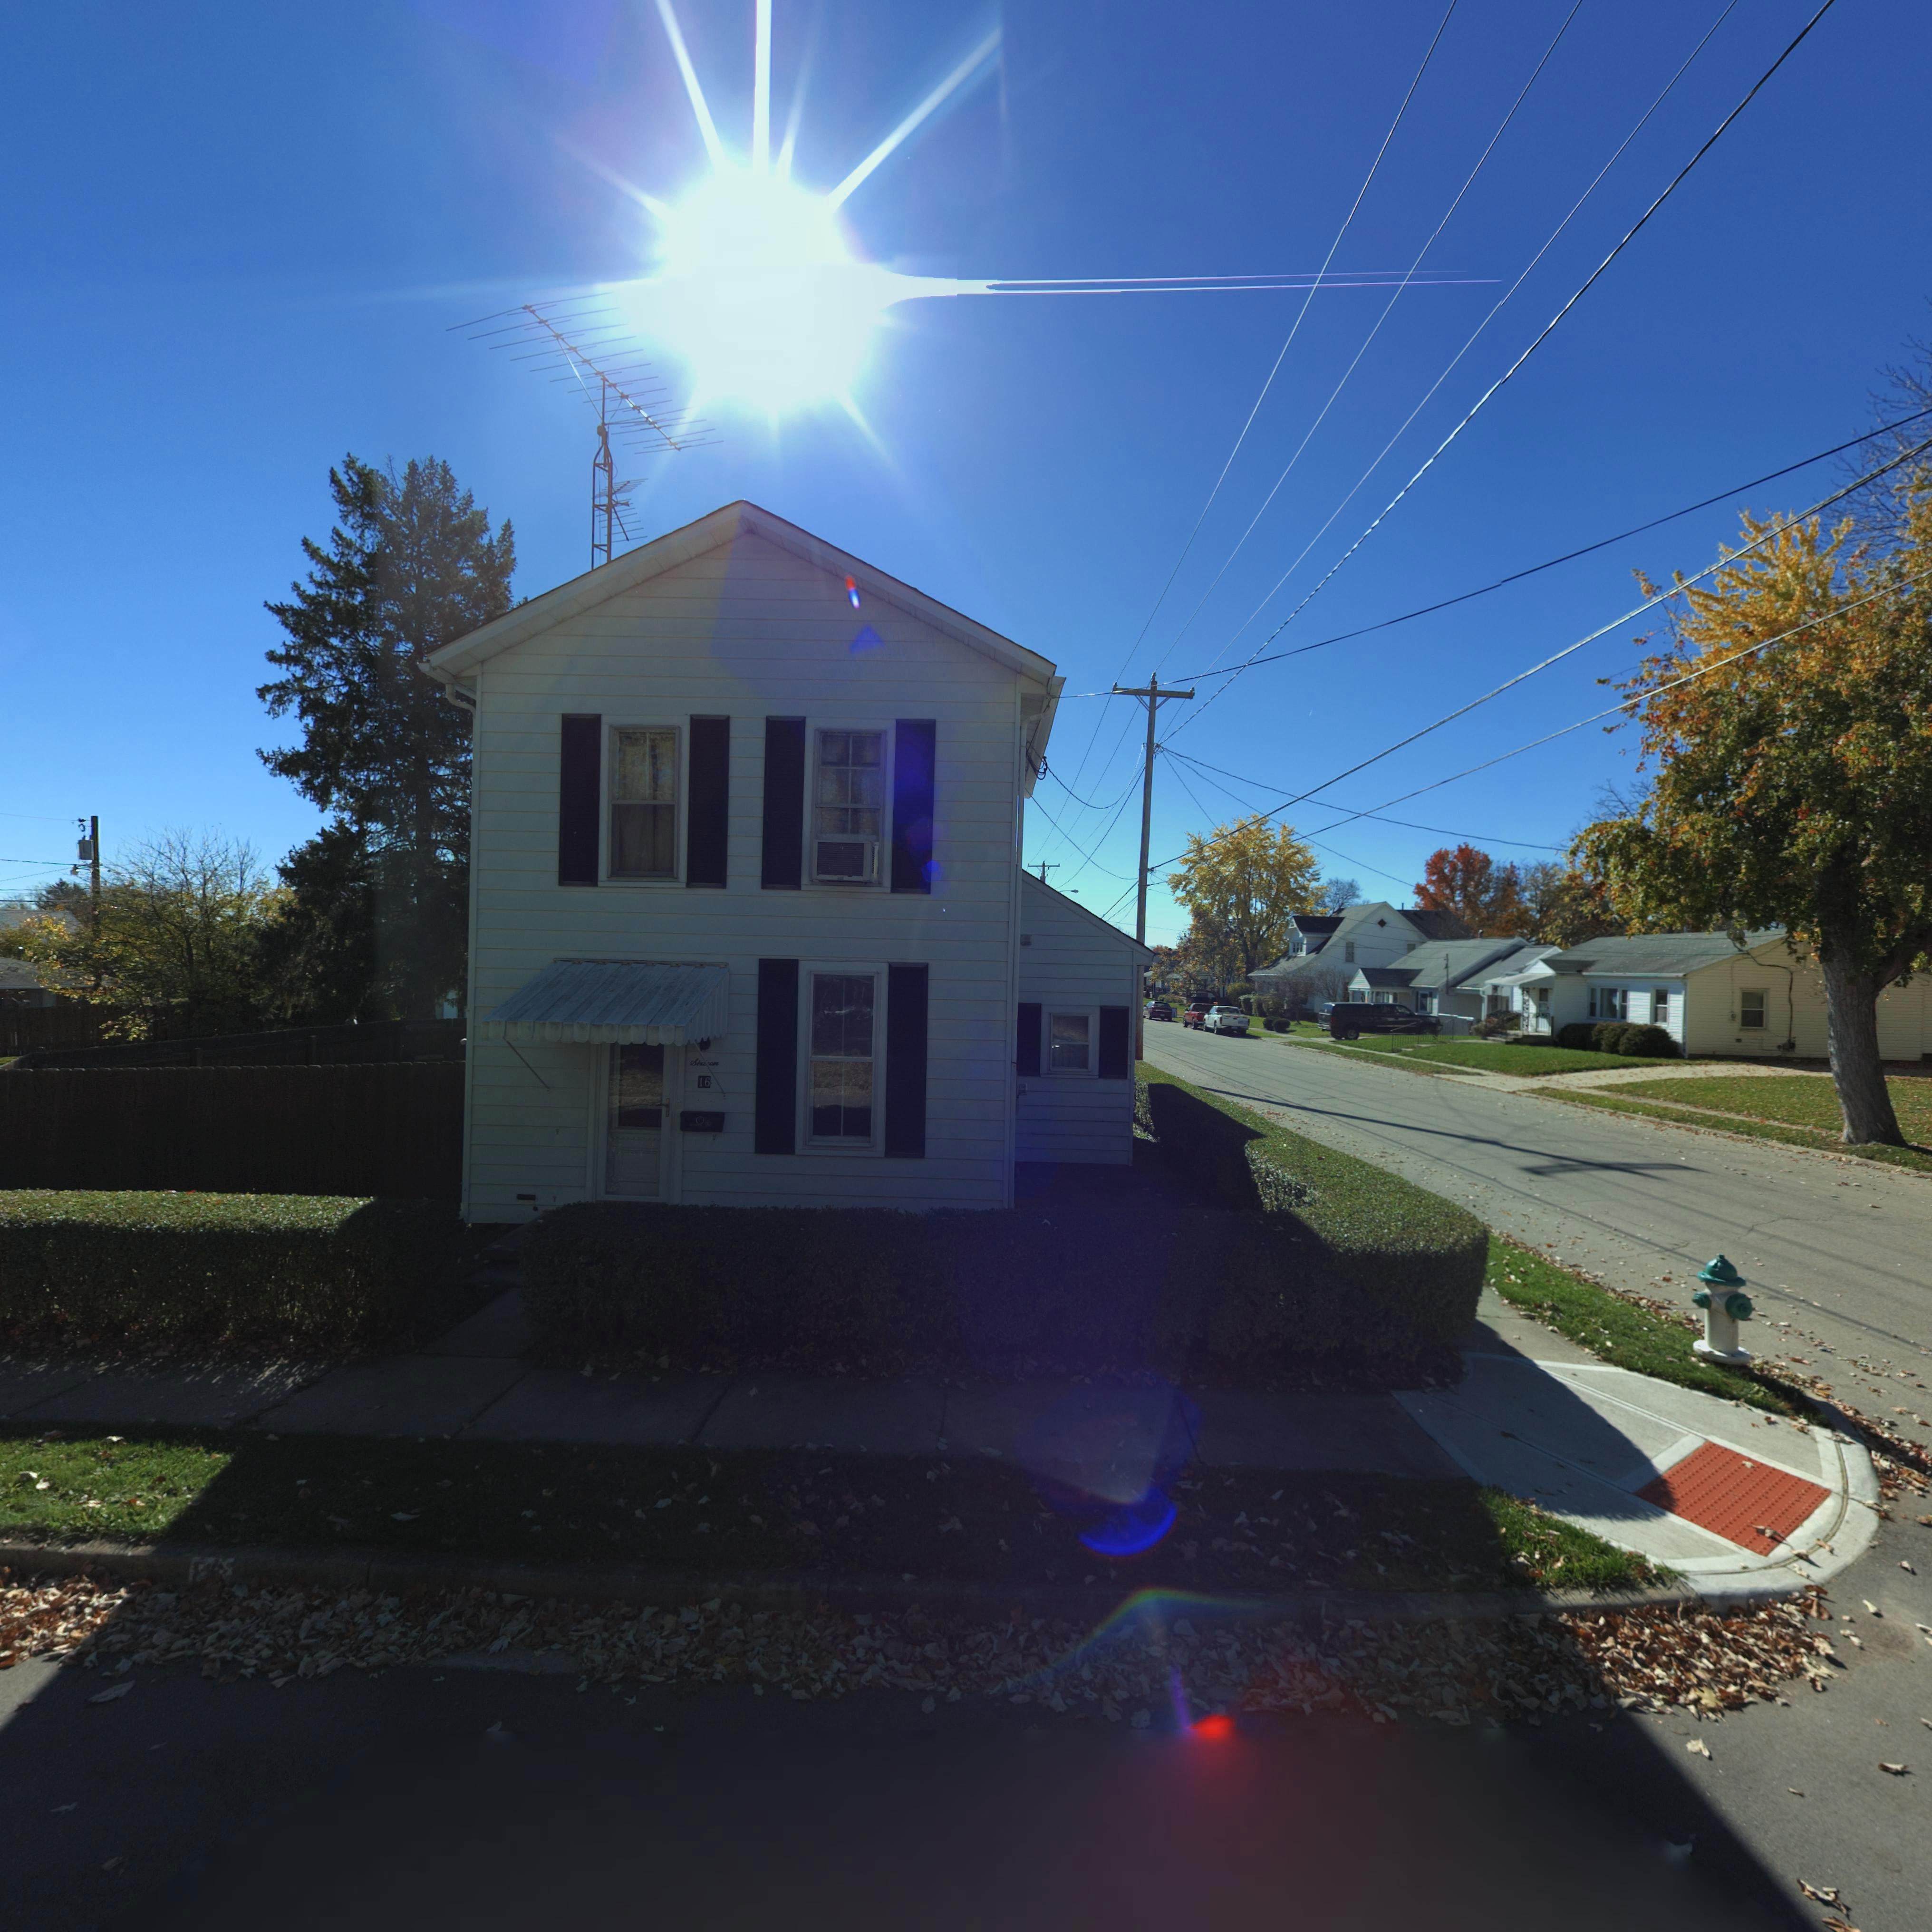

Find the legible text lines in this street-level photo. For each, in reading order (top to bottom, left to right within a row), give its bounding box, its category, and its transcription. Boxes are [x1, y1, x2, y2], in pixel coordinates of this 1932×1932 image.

[689, 1057, 720, 1066] StreetNumber: Six**en
[699, 1076, 711, 1087] StreetNumber: 16
[189, 1560, 203, 1584] StreetNumber: 1